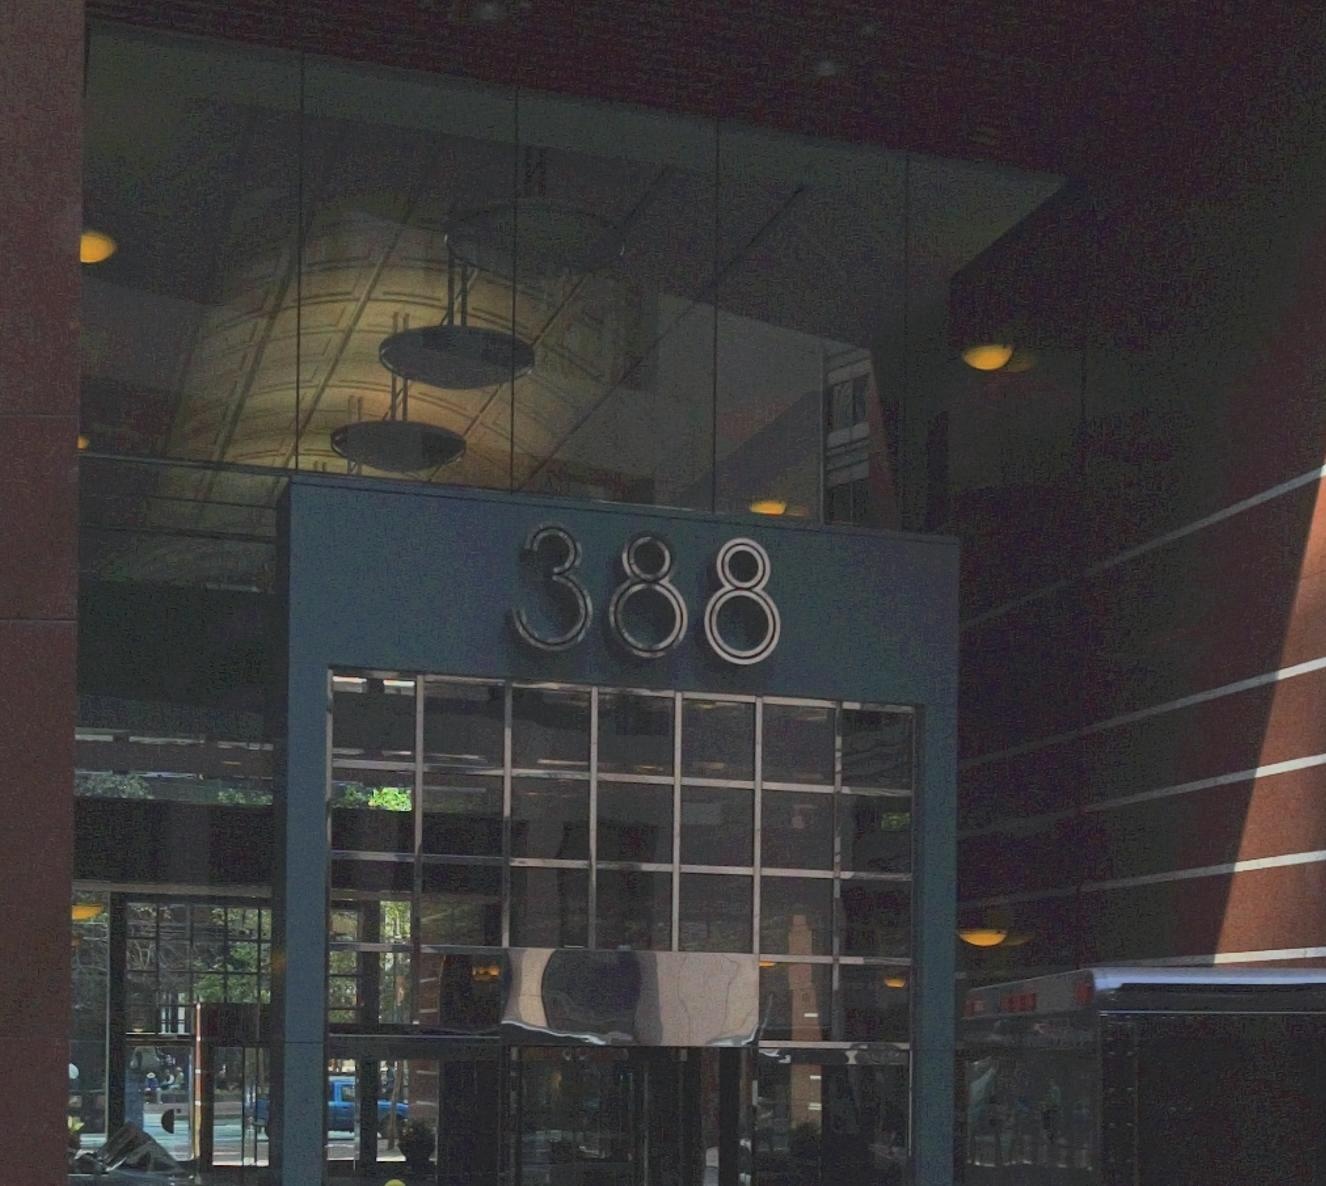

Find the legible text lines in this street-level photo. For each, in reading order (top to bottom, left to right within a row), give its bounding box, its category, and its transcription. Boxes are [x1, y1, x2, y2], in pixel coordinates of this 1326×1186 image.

[507, 516, 785, 671] StreetNumber: 388